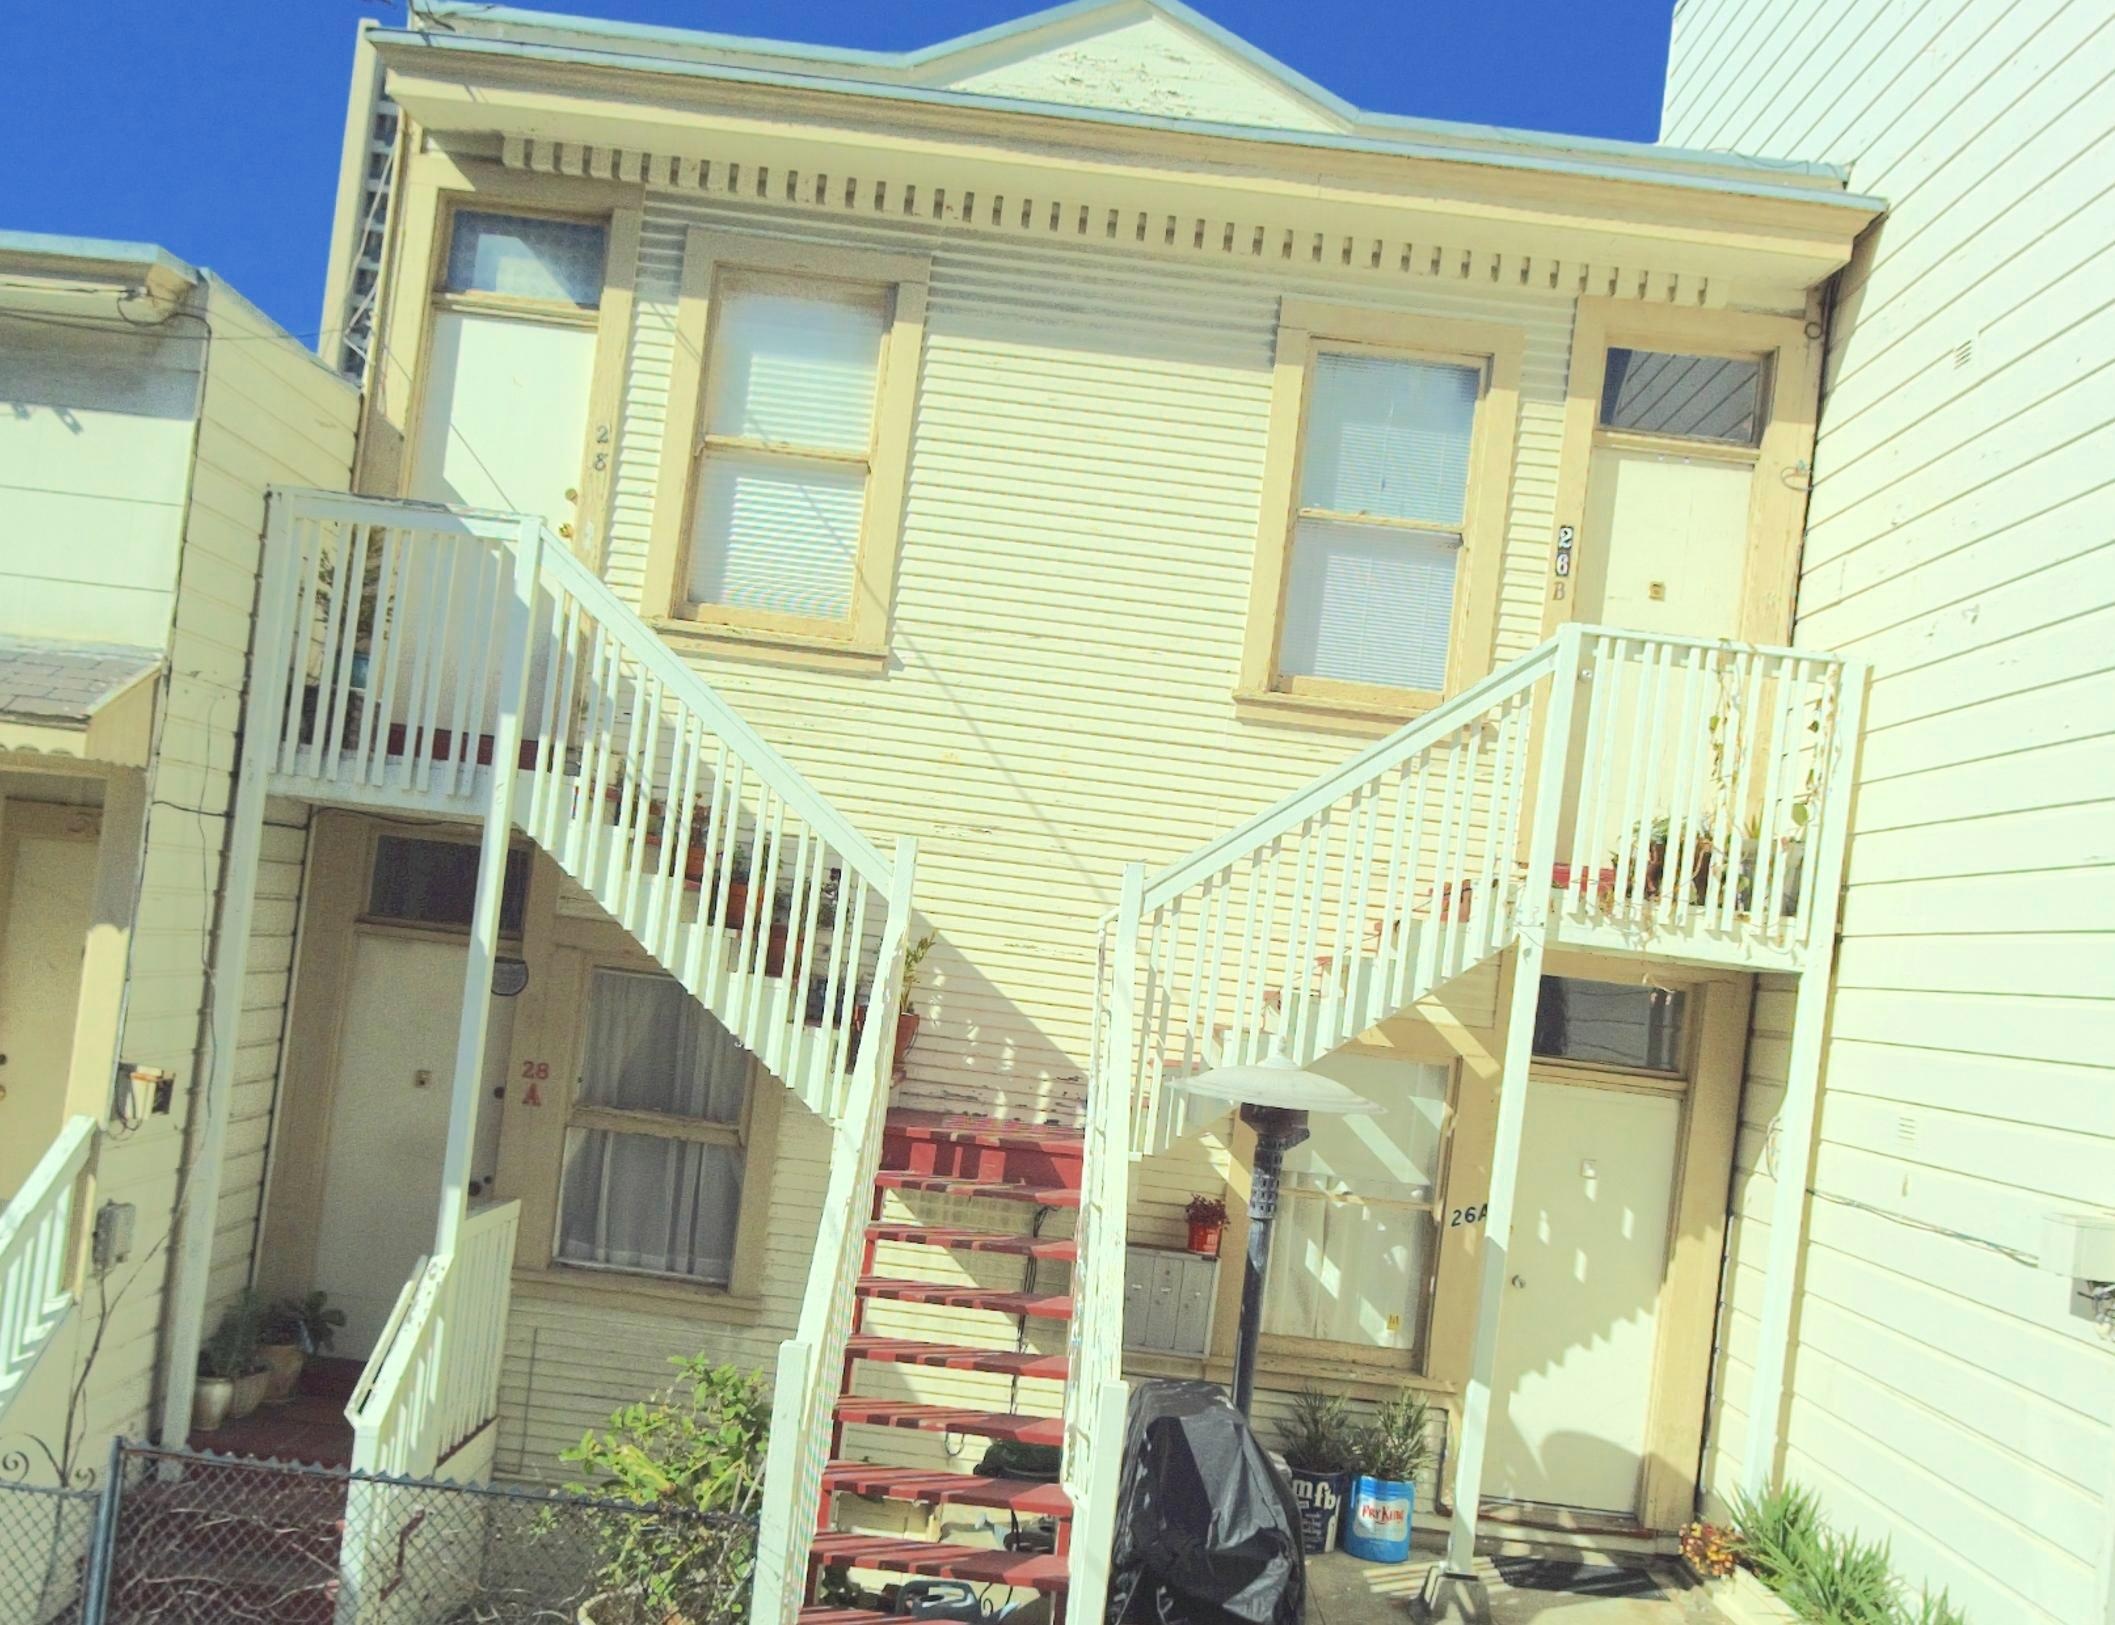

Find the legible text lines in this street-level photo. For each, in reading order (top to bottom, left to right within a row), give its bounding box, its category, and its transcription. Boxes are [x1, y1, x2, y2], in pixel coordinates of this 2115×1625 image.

[590, 422, 612, 474] StreetNumber: 28
[1548, 522, 1576, 604] StreetNumber: 26B
[517, 1058, 554, 1108] StreetNumber: 28A
[1449, 1204, 1480, 1230] StreetNumber: 26
[1291, 1478, 1337, 1511] None: mfb
[1360, 1502, 1408, 1525] None: PRYKing